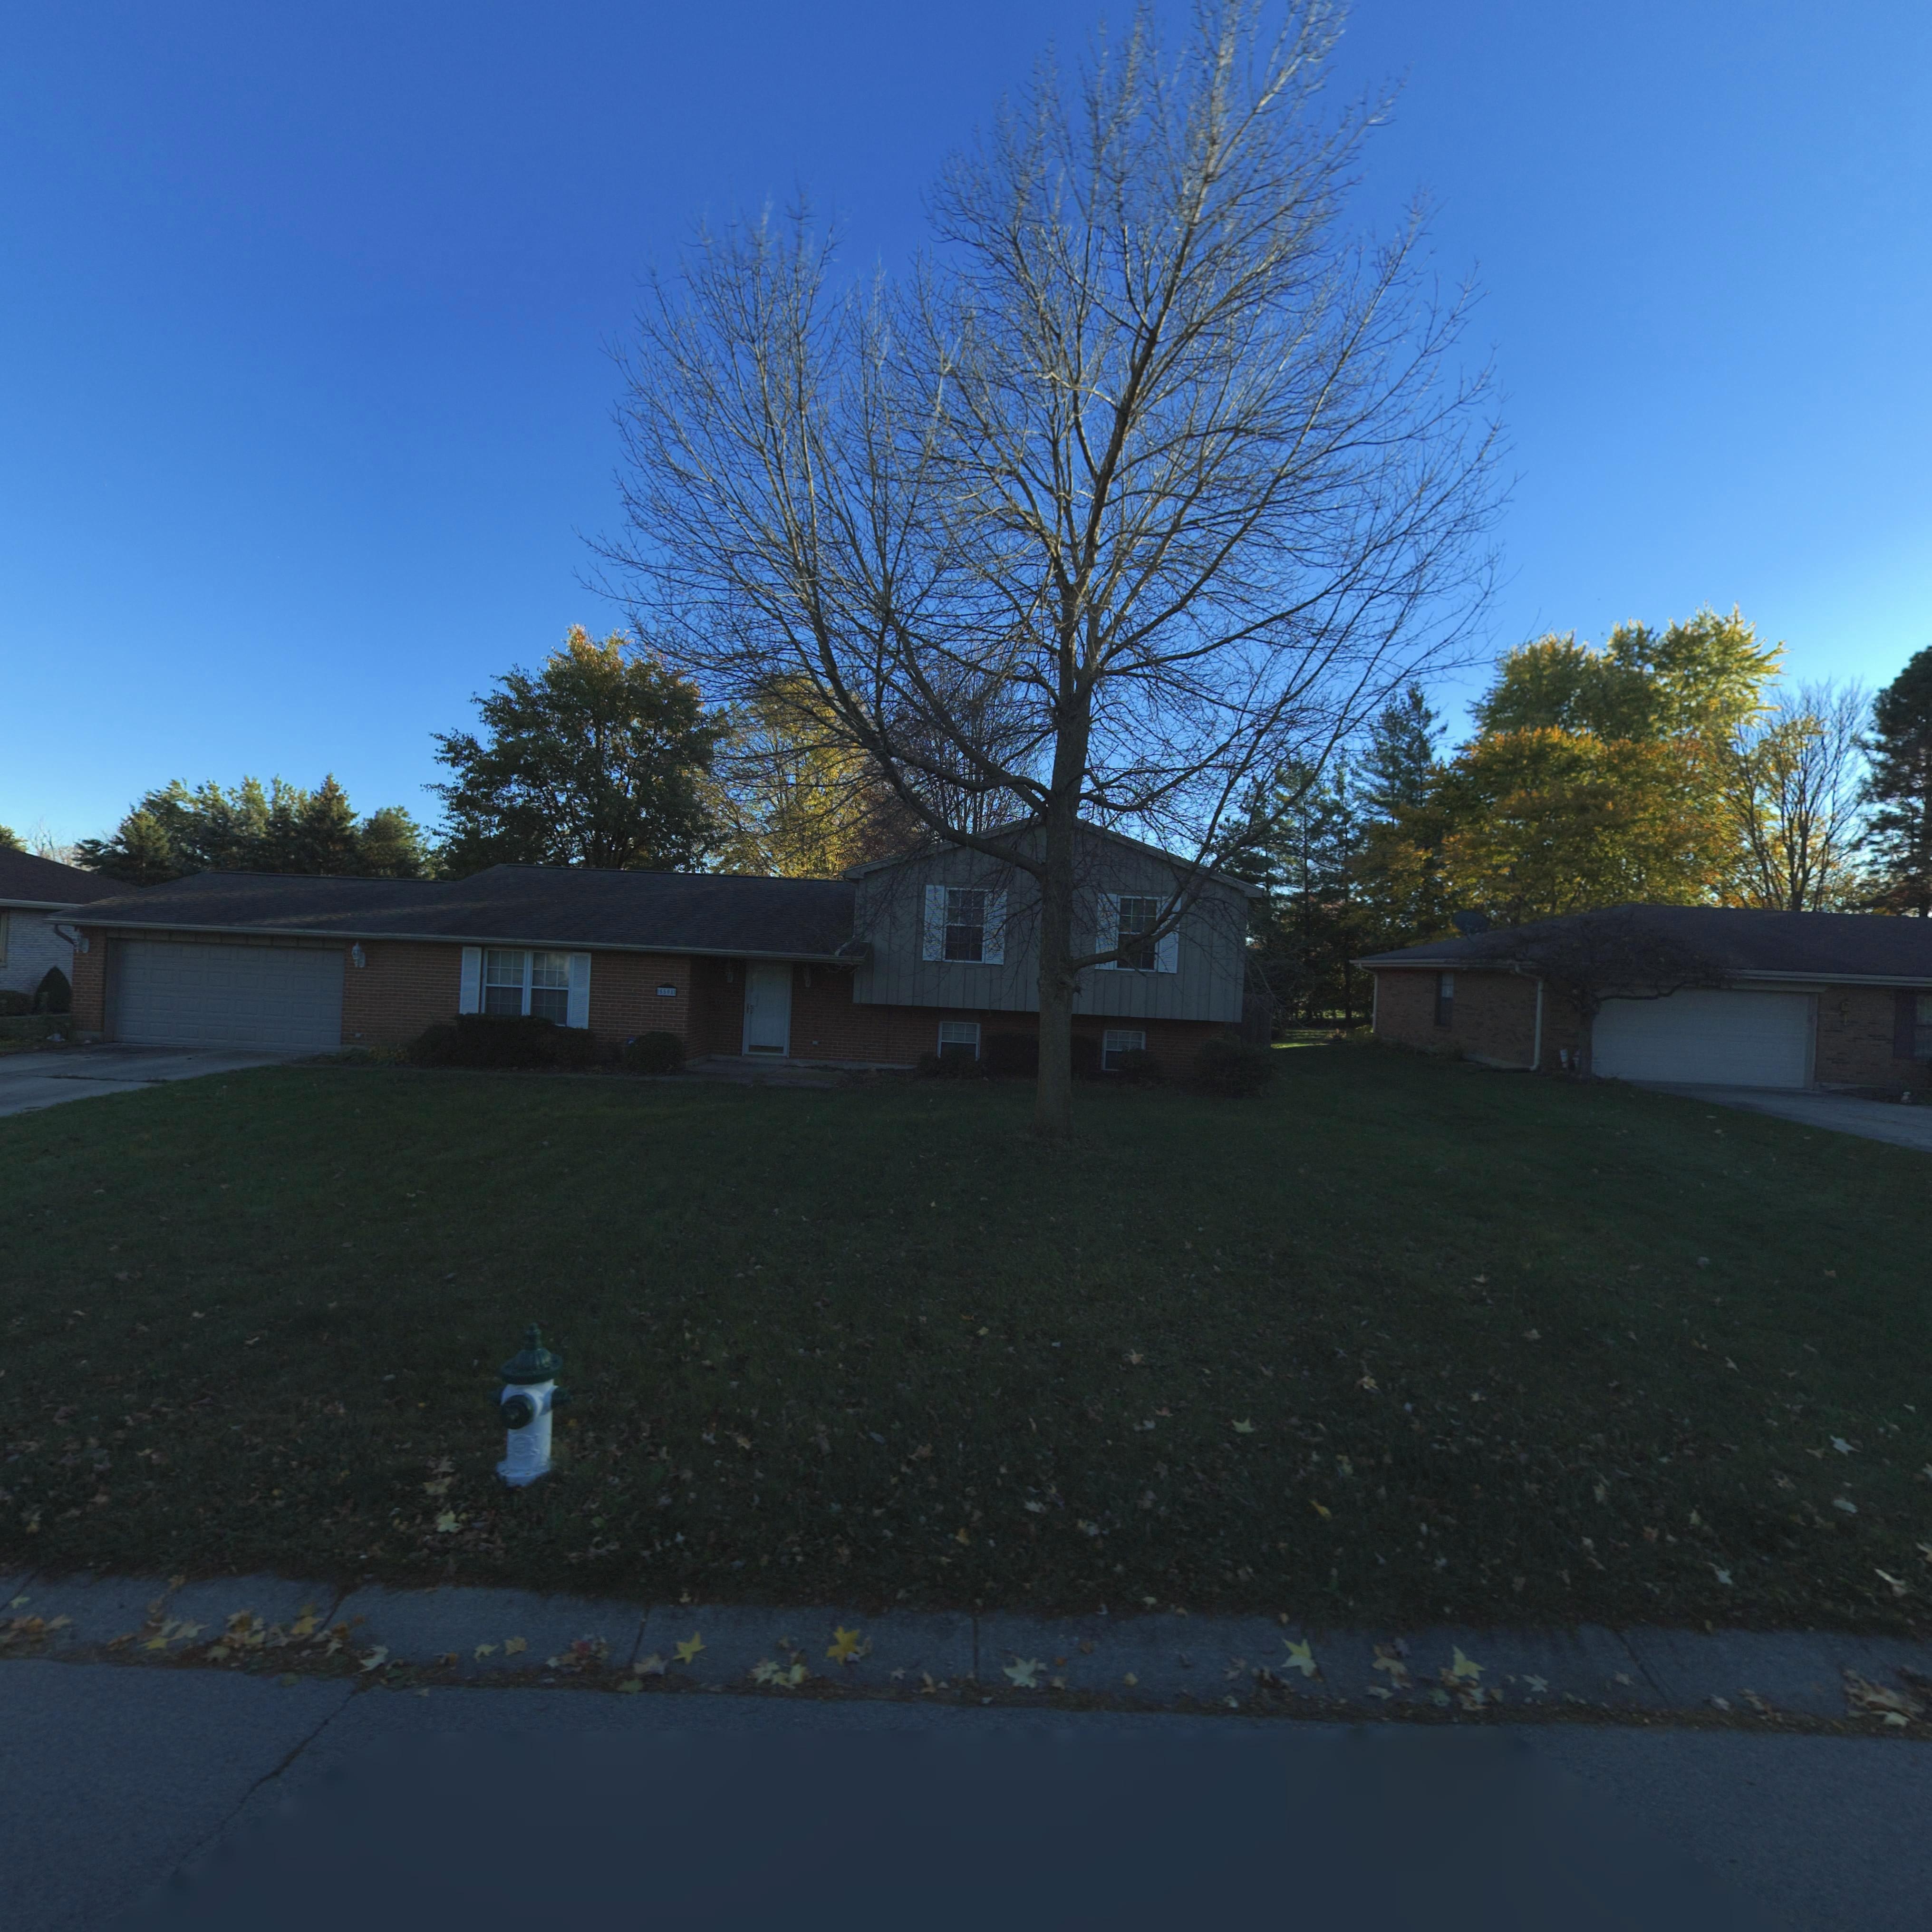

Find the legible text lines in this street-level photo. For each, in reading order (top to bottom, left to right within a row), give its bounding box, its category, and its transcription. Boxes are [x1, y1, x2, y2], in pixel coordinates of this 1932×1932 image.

[658, 988, 675, 995] StreetNumber: 5508